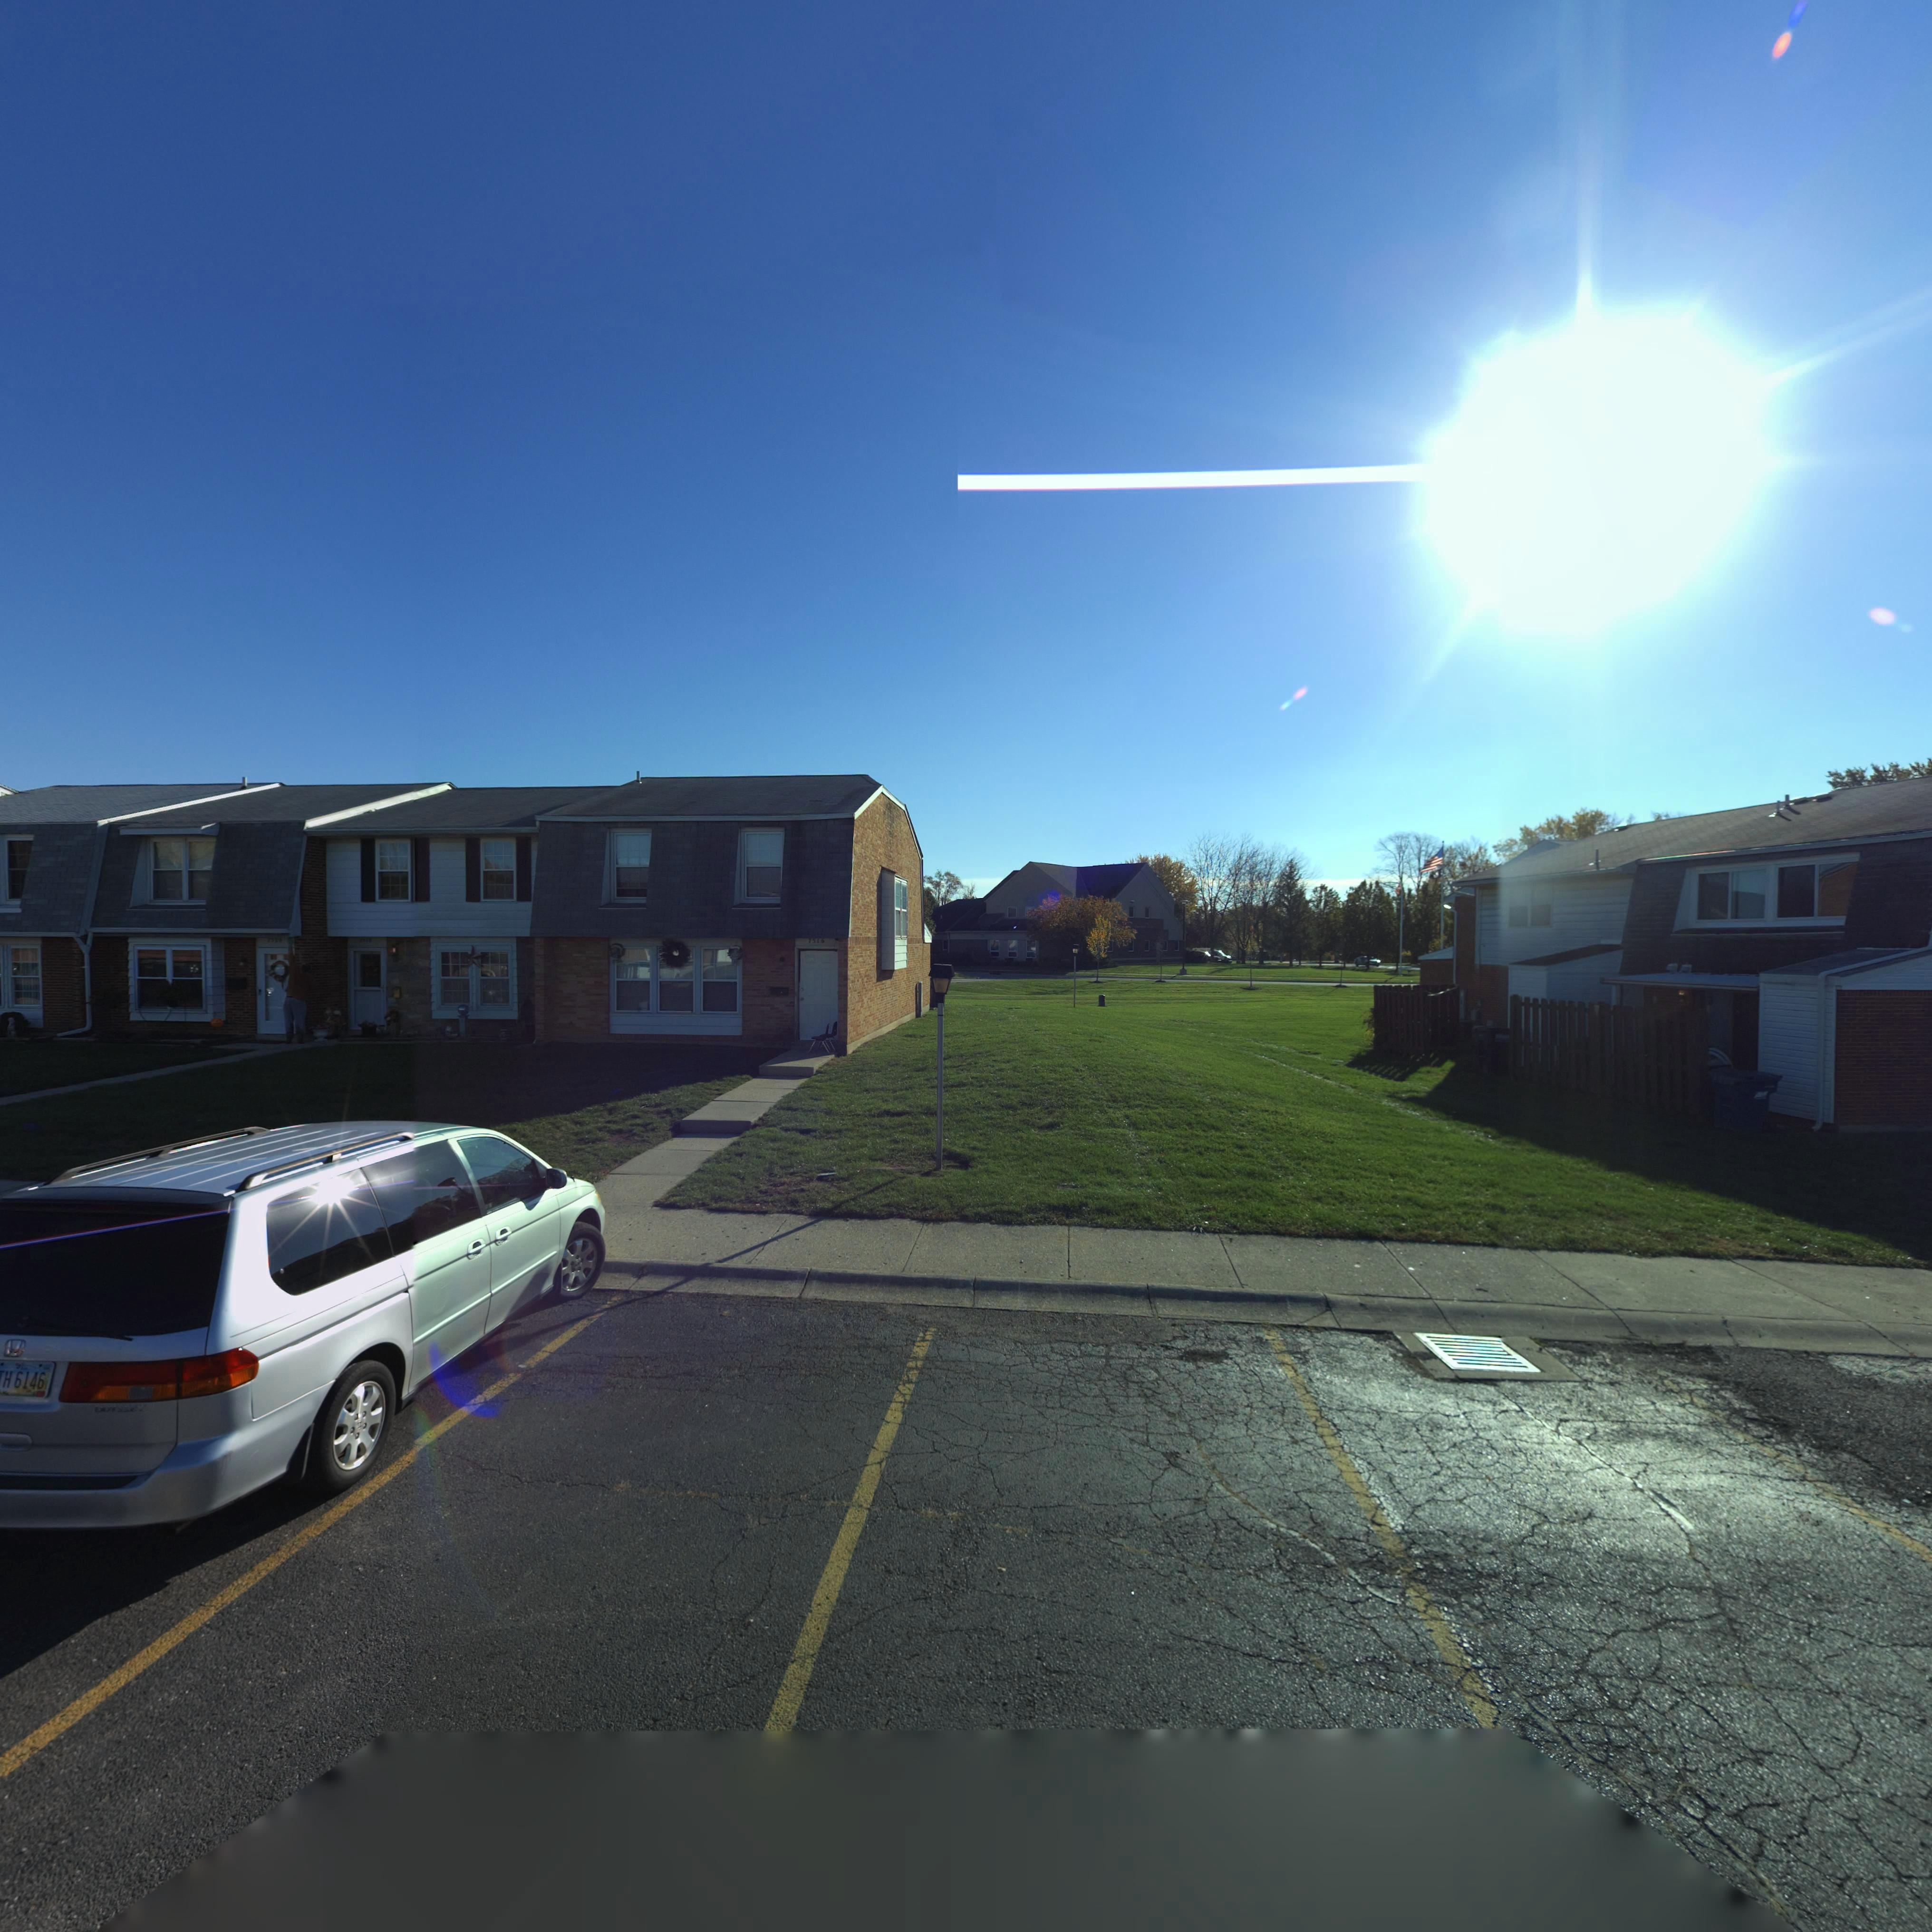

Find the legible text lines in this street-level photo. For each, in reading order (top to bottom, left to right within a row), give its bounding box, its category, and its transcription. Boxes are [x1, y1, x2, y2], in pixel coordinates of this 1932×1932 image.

[267, 937, 283, 943] StreetNumber: 7520
[358, 937, 373, 943] StreetNumber: 7*18
[807, 937, 825, 944] StreetNumber: 7516